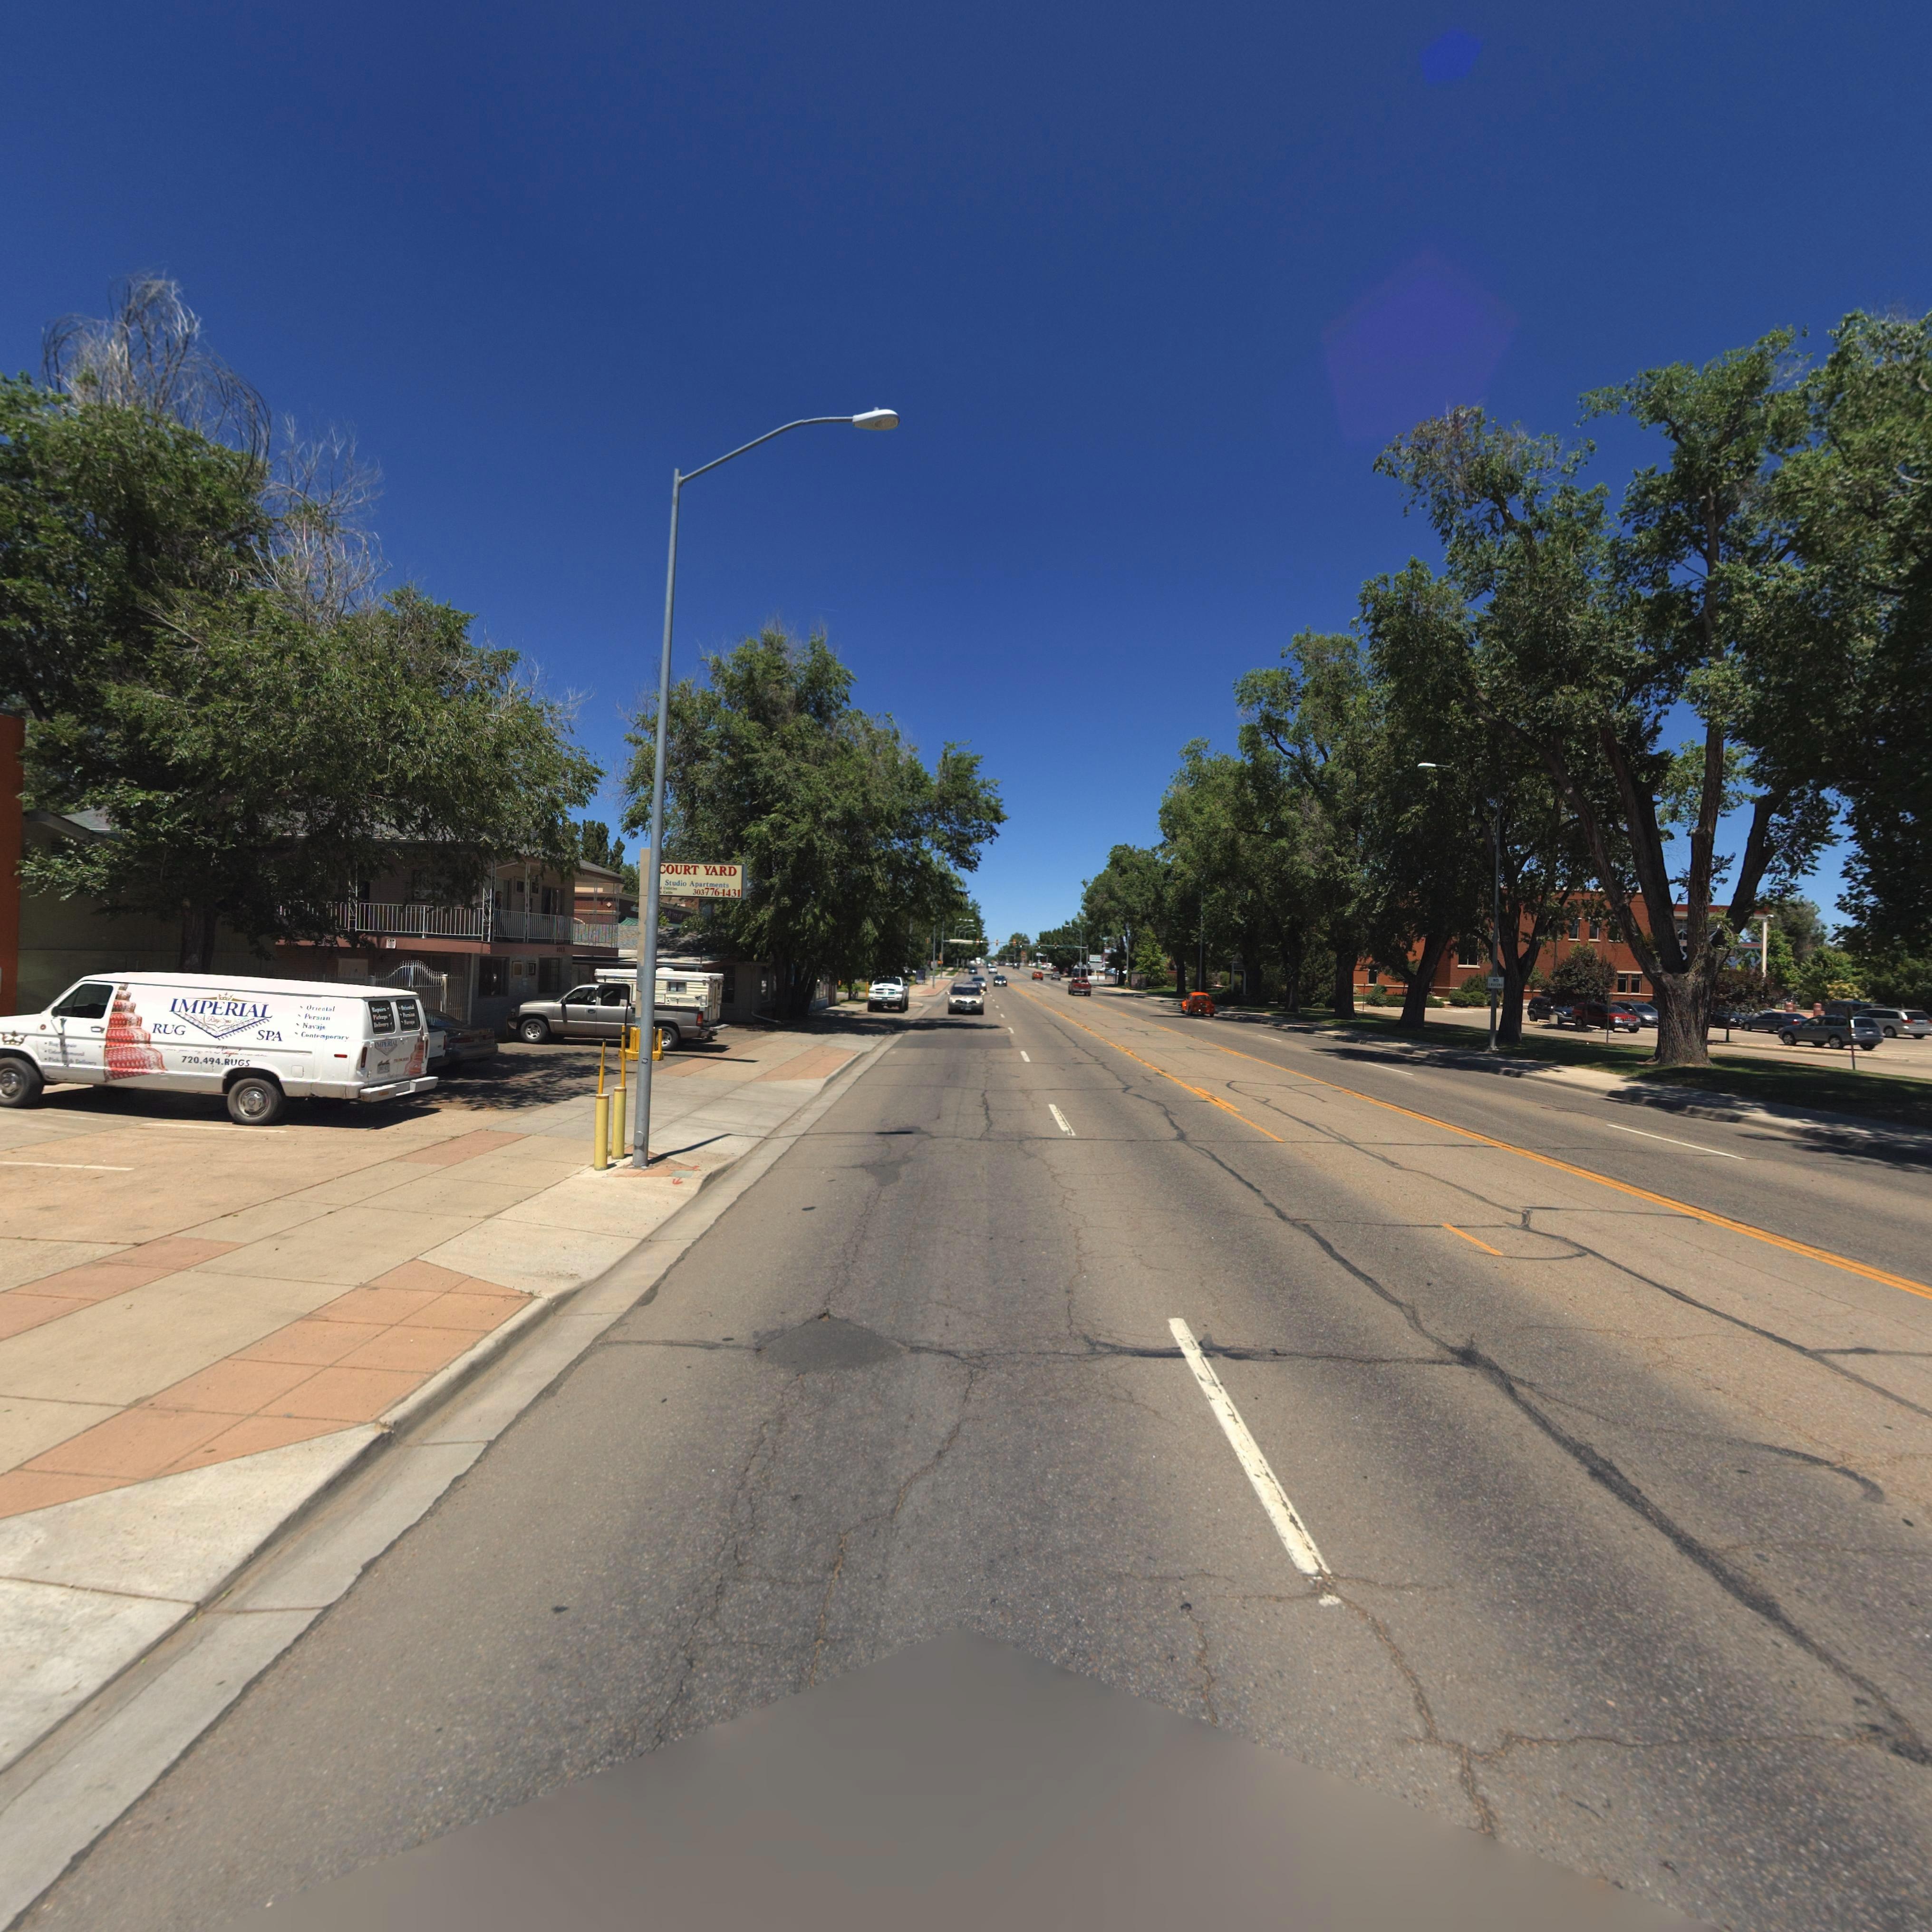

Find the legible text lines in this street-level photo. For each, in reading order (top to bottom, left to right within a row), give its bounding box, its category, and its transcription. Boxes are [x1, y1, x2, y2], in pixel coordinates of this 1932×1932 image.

[658, 863, 737, 876] BusinessName: COURT YARD
[664, 879, 729, 888] BusinessName: Studio Apartments
[556, 946, 565, 952] StreetNumber: 1013